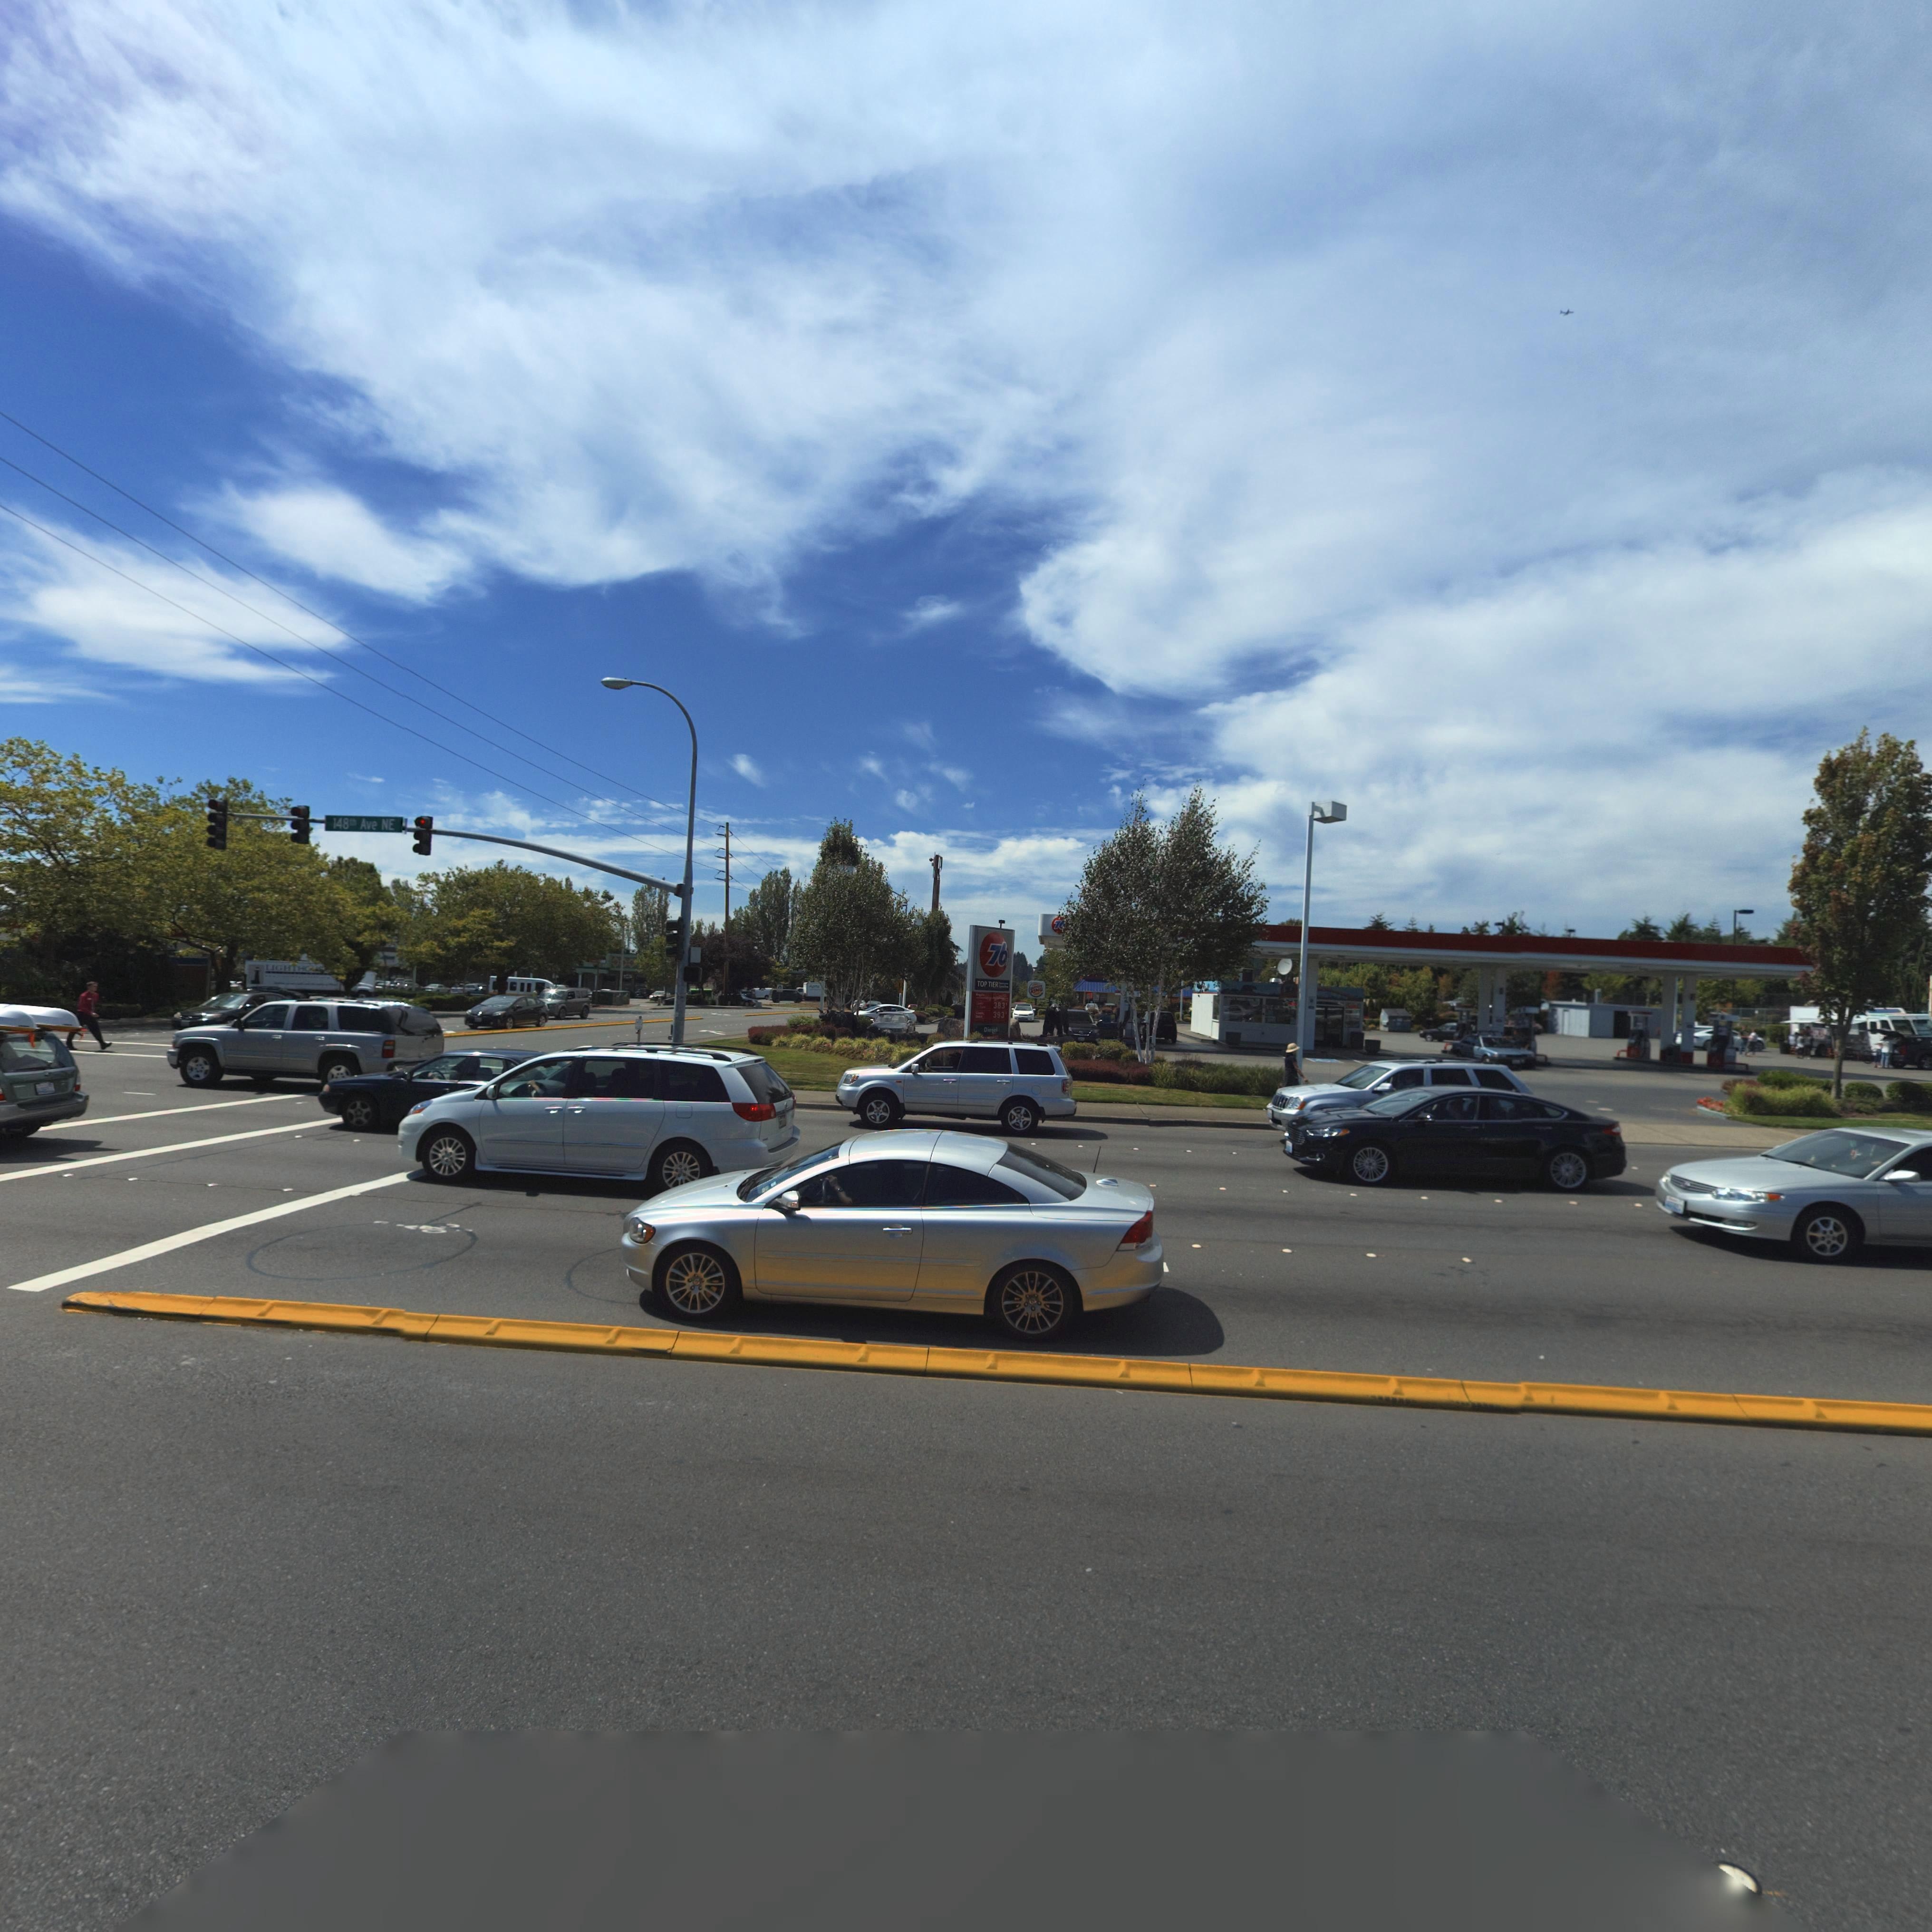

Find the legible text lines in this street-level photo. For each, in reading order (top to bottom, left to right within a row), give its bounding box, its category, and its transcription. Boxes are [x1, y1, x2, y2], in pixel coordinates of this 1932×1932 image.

[334, 818, 394, 830] StreetName: 148 Ave NE